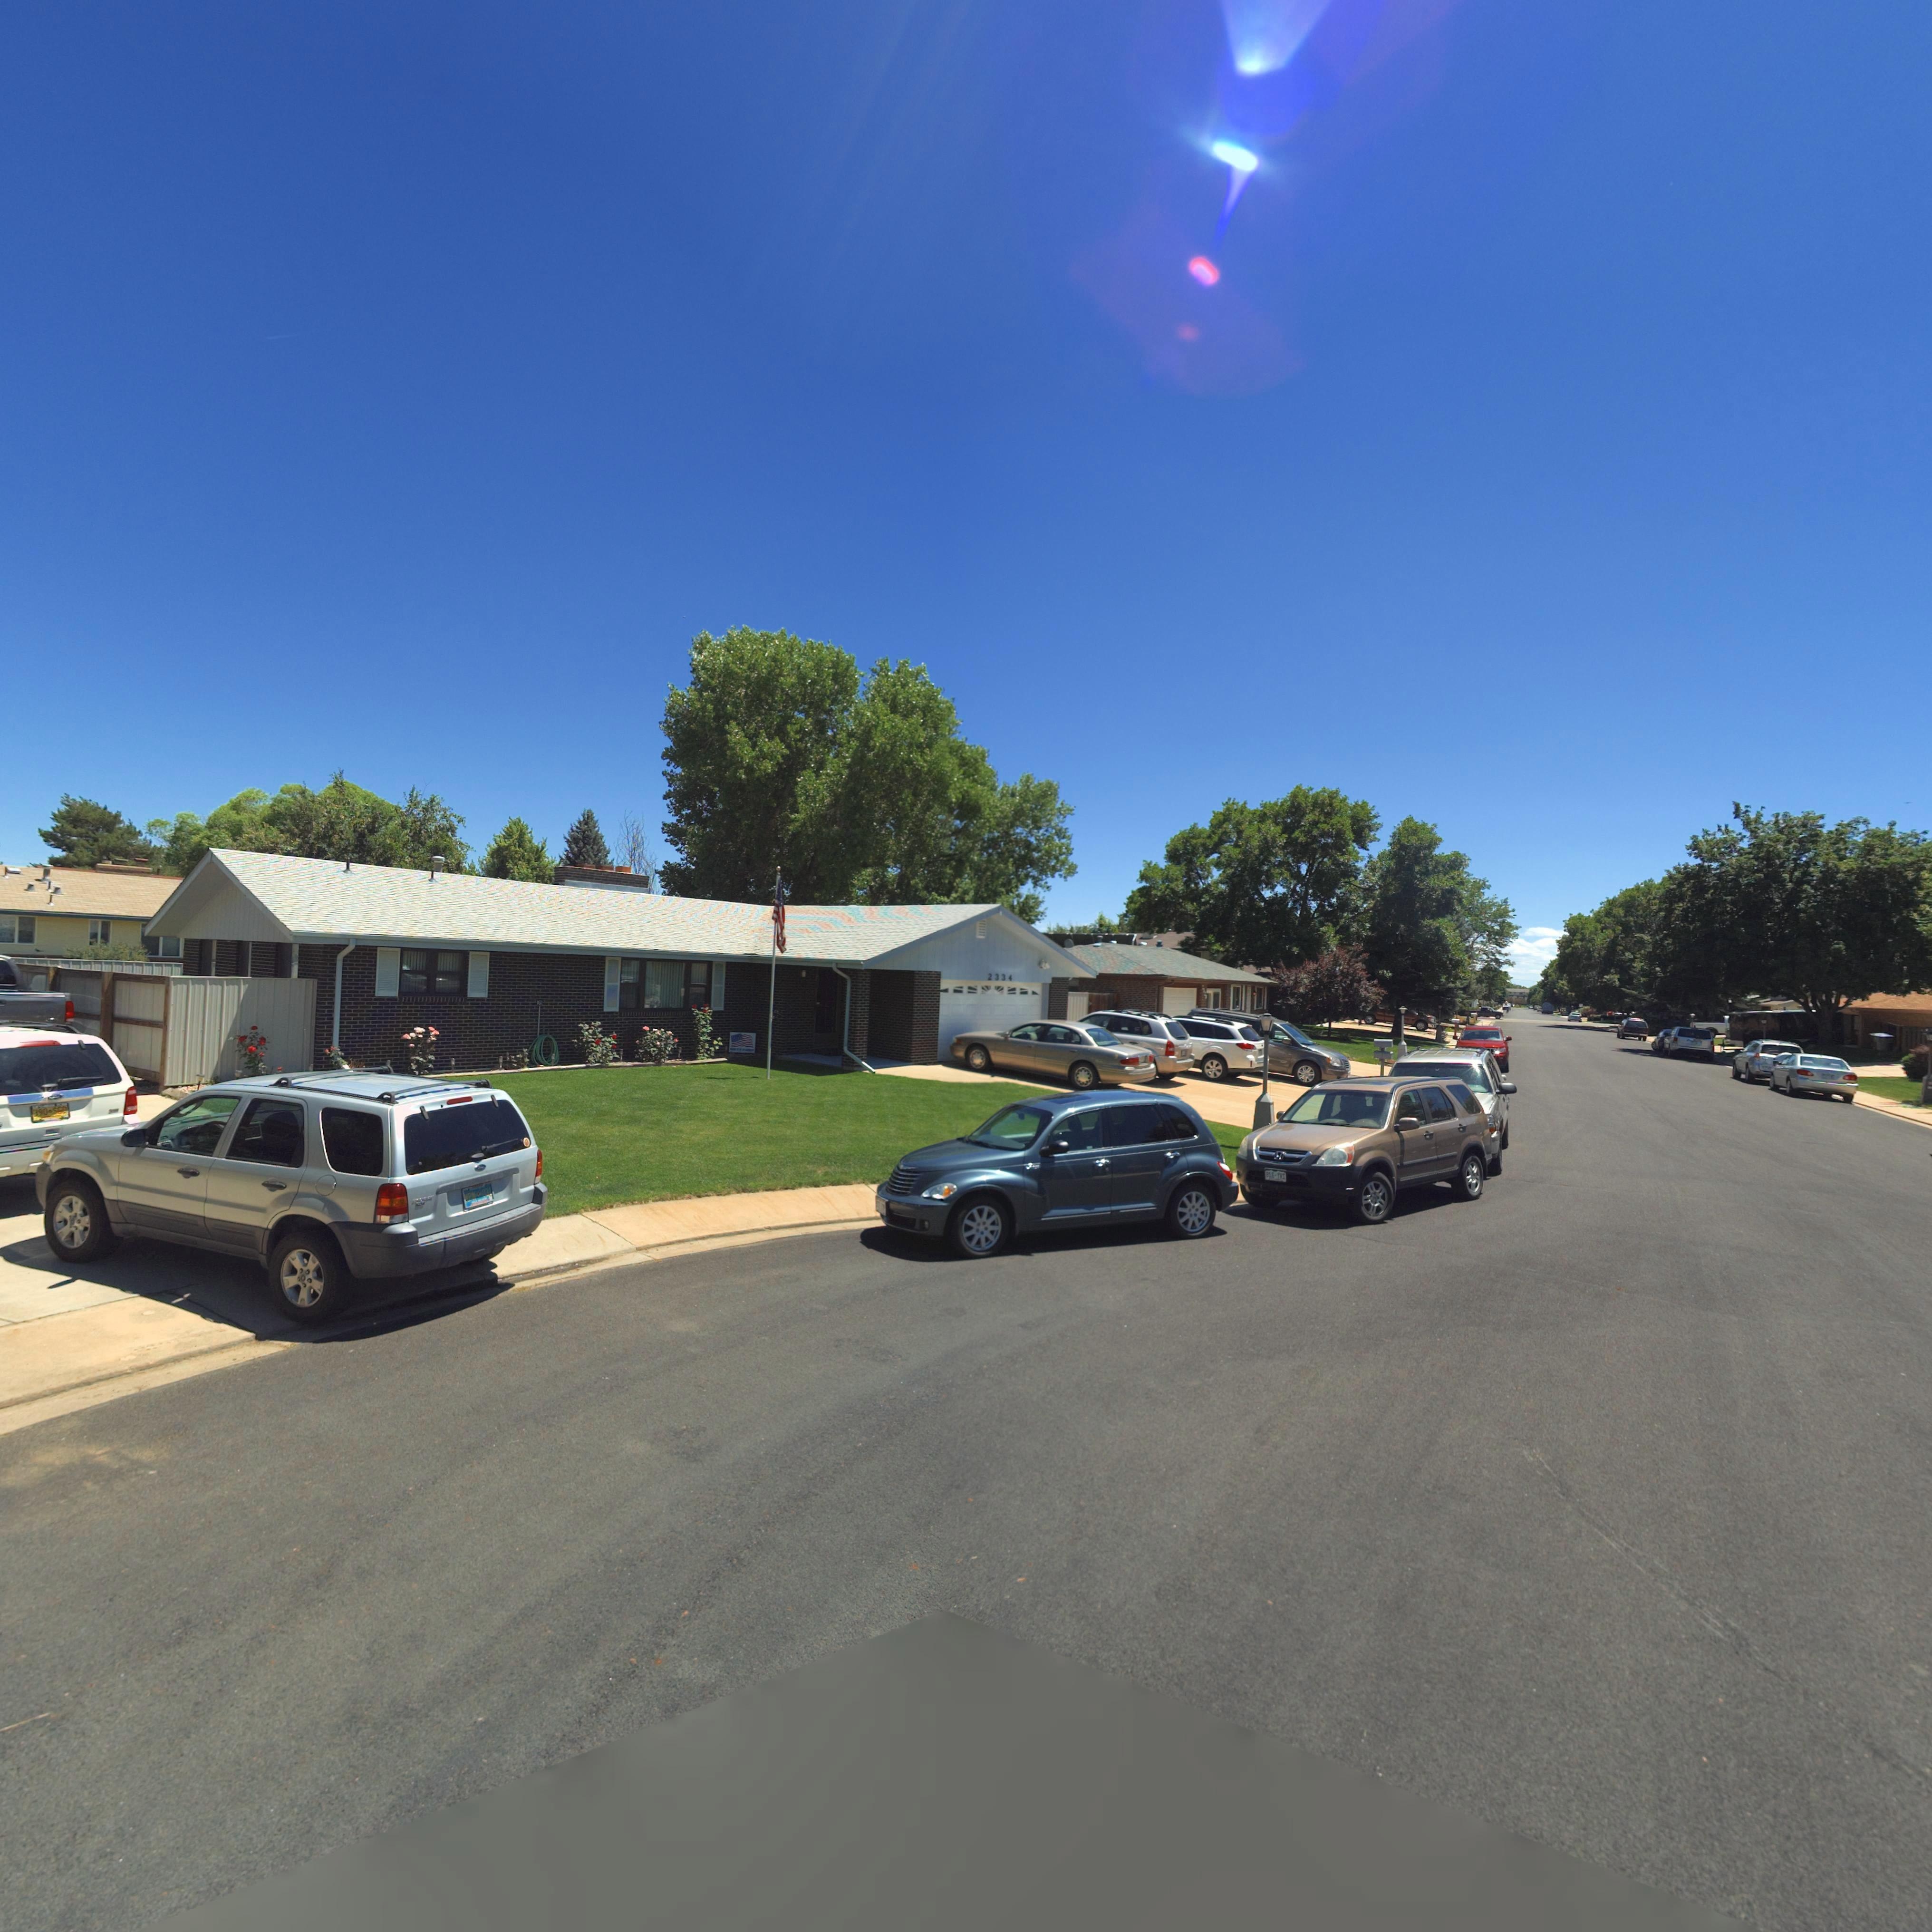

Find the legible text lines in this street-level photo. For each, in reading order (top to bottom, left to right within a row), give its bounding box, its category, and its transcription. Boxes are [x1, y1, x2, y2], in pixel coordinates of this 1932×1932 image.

[988, 973, 1012, 981] StreetNumber: 2334